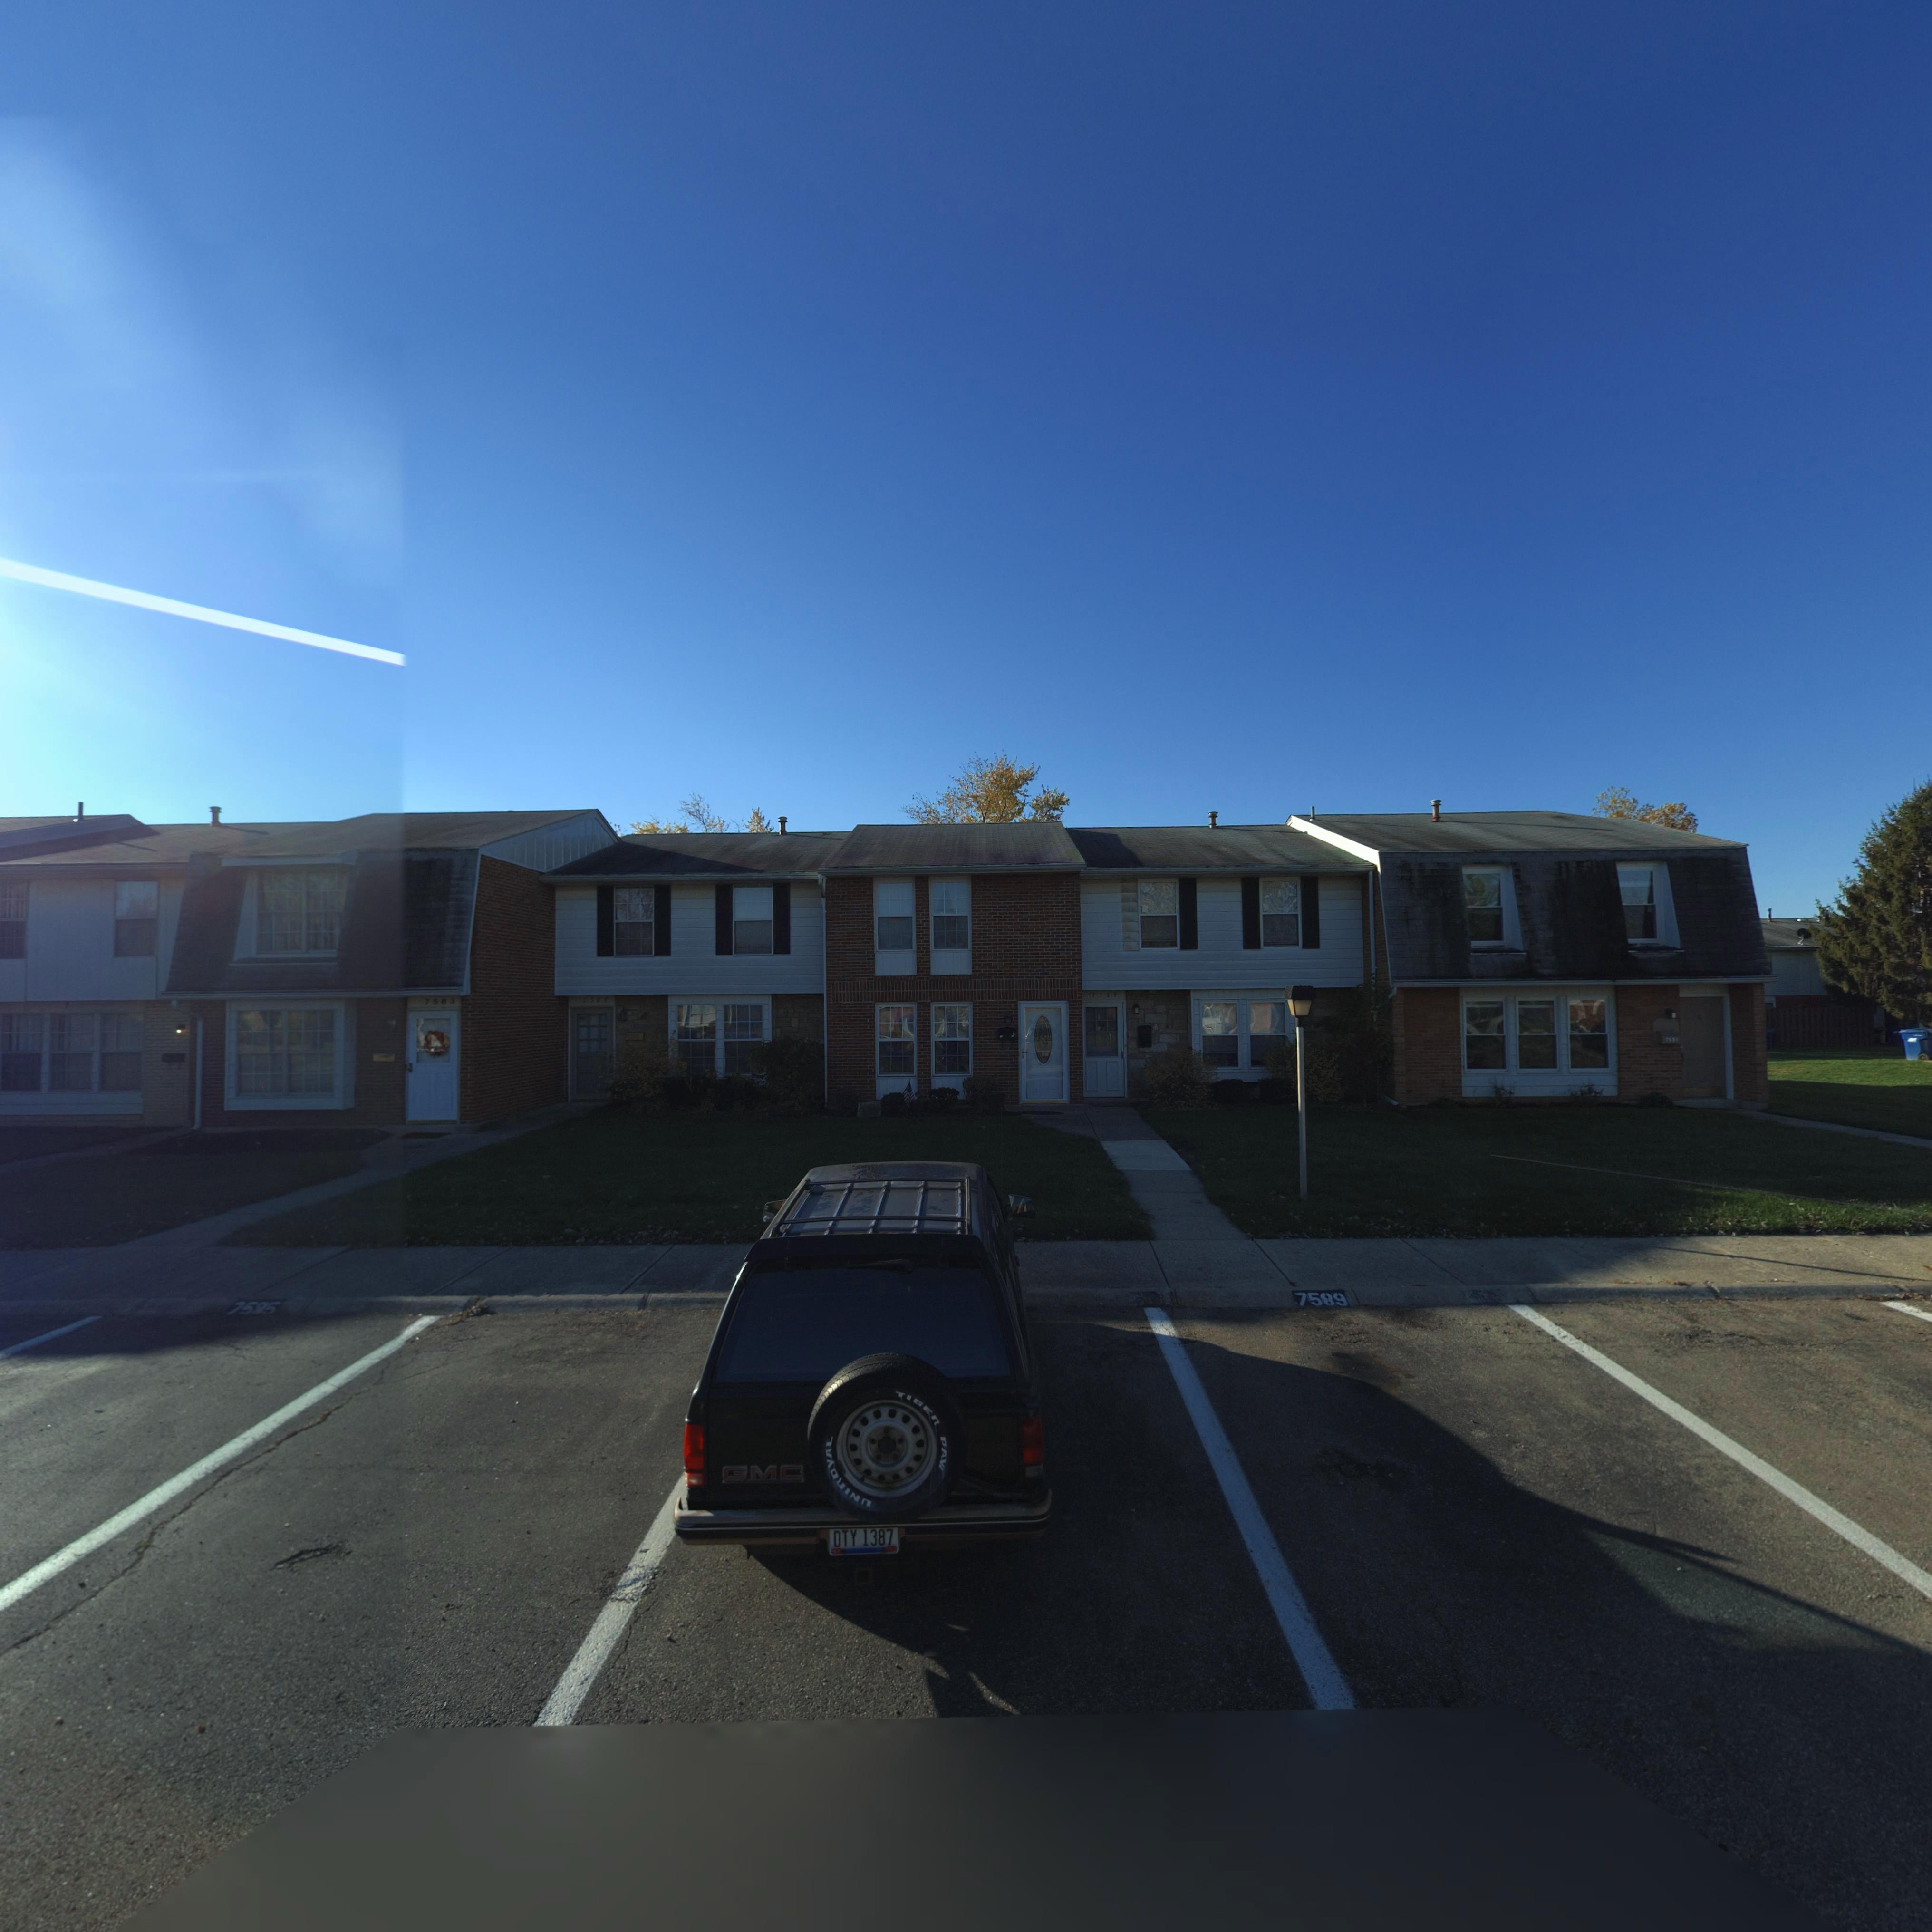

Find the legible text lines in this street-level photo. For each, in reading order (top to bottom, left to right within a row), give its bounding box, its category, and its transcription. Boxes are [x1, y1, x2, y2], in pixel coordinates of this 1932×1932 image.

[1091, 991, 1118, 998] StreetNumber: 7589
[423, 997, 455, 1005] StreetNumber: 7583
[581, 996, 609, 1004] StreetNumber: 7585
[1664, 1037, 1679, 1043] StreetNumber: 7591
[1293, 1292, 1349, 1307] StreetNumber: 7589
[223, 1300, 283, 1316] StreetNumber: 7585